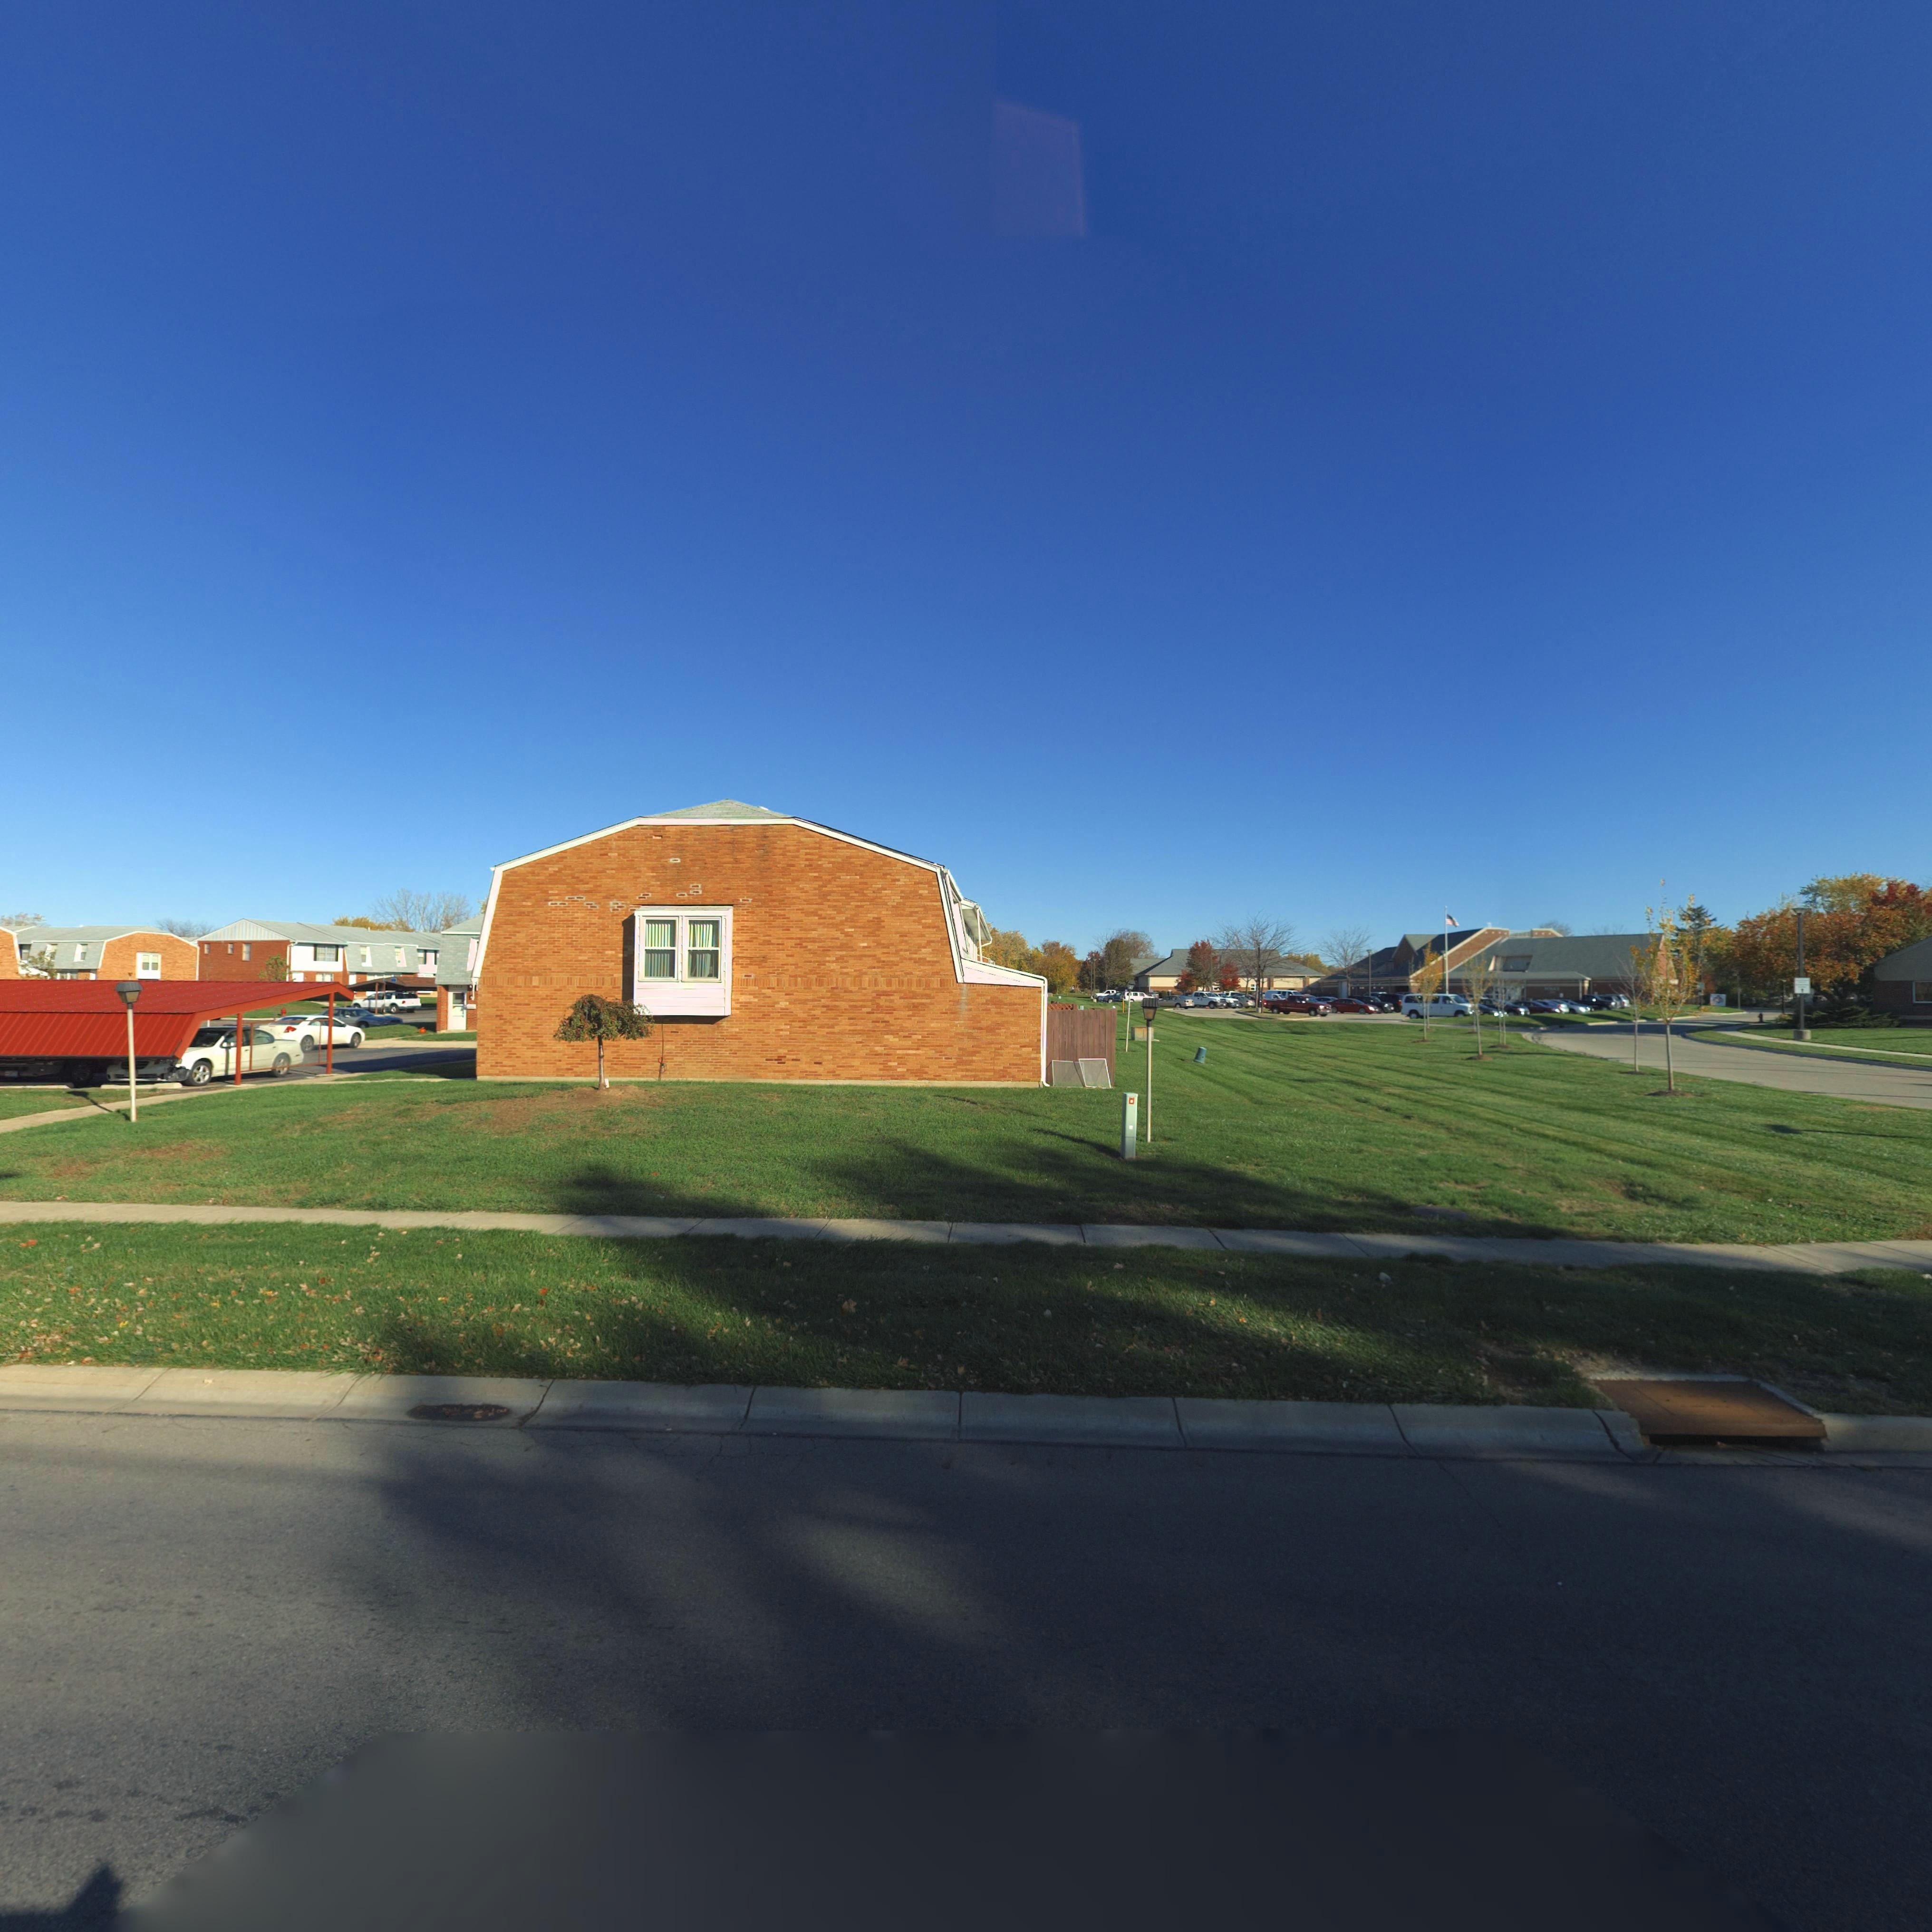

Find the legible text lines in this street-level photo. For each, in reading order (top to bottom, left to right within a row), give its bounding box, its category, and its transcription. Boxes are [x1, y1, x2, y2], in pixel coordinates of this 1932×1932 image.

[453, 985, 463, 988] StreetNumber: 7***